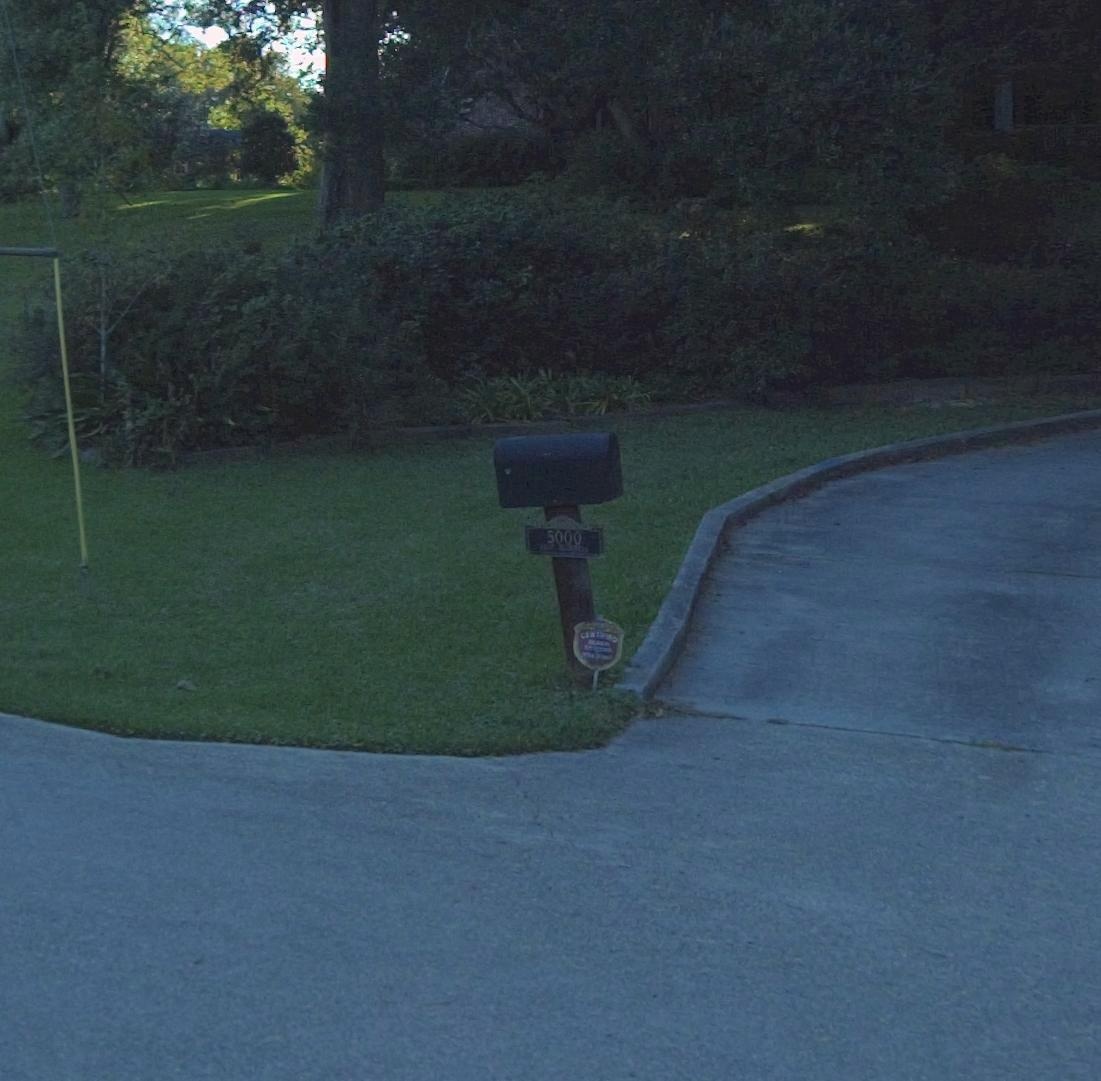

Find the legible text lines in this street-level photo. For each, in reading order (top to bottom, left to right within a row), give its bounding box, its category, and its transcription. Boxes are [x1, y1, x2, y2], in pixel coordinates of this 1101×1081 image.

[545, 528, 583, 547] StreetNumber: 5000